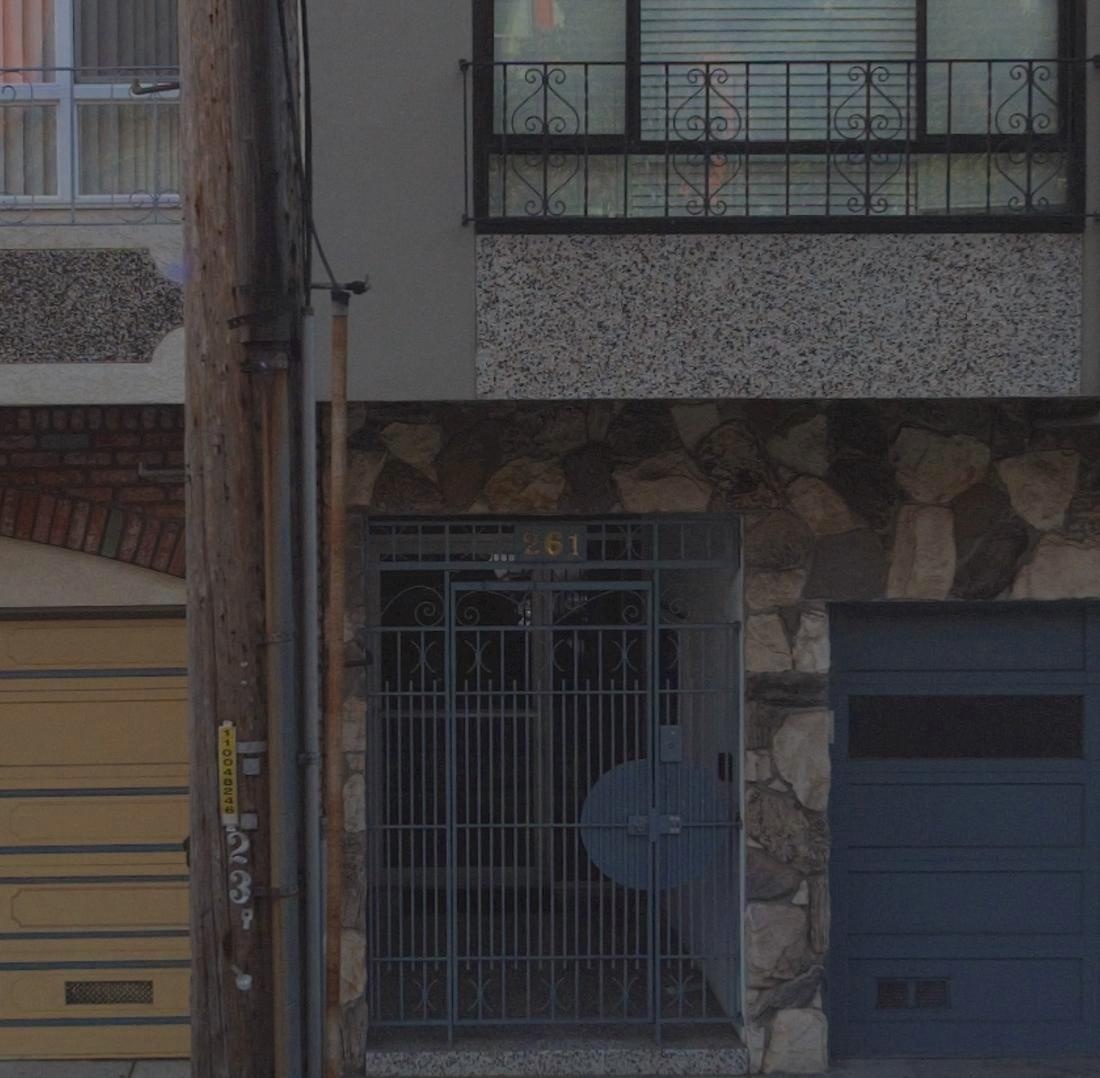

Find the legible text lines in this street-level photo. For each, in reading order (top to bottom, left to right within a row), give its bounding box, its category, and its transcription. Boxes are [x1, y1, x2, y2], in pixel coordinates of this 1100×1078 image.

[520, 530, 581, 557] StreetNumber: 261
[220, 725, 233, 814] None: 110048246
[223, 830, 252, 908] None: 23